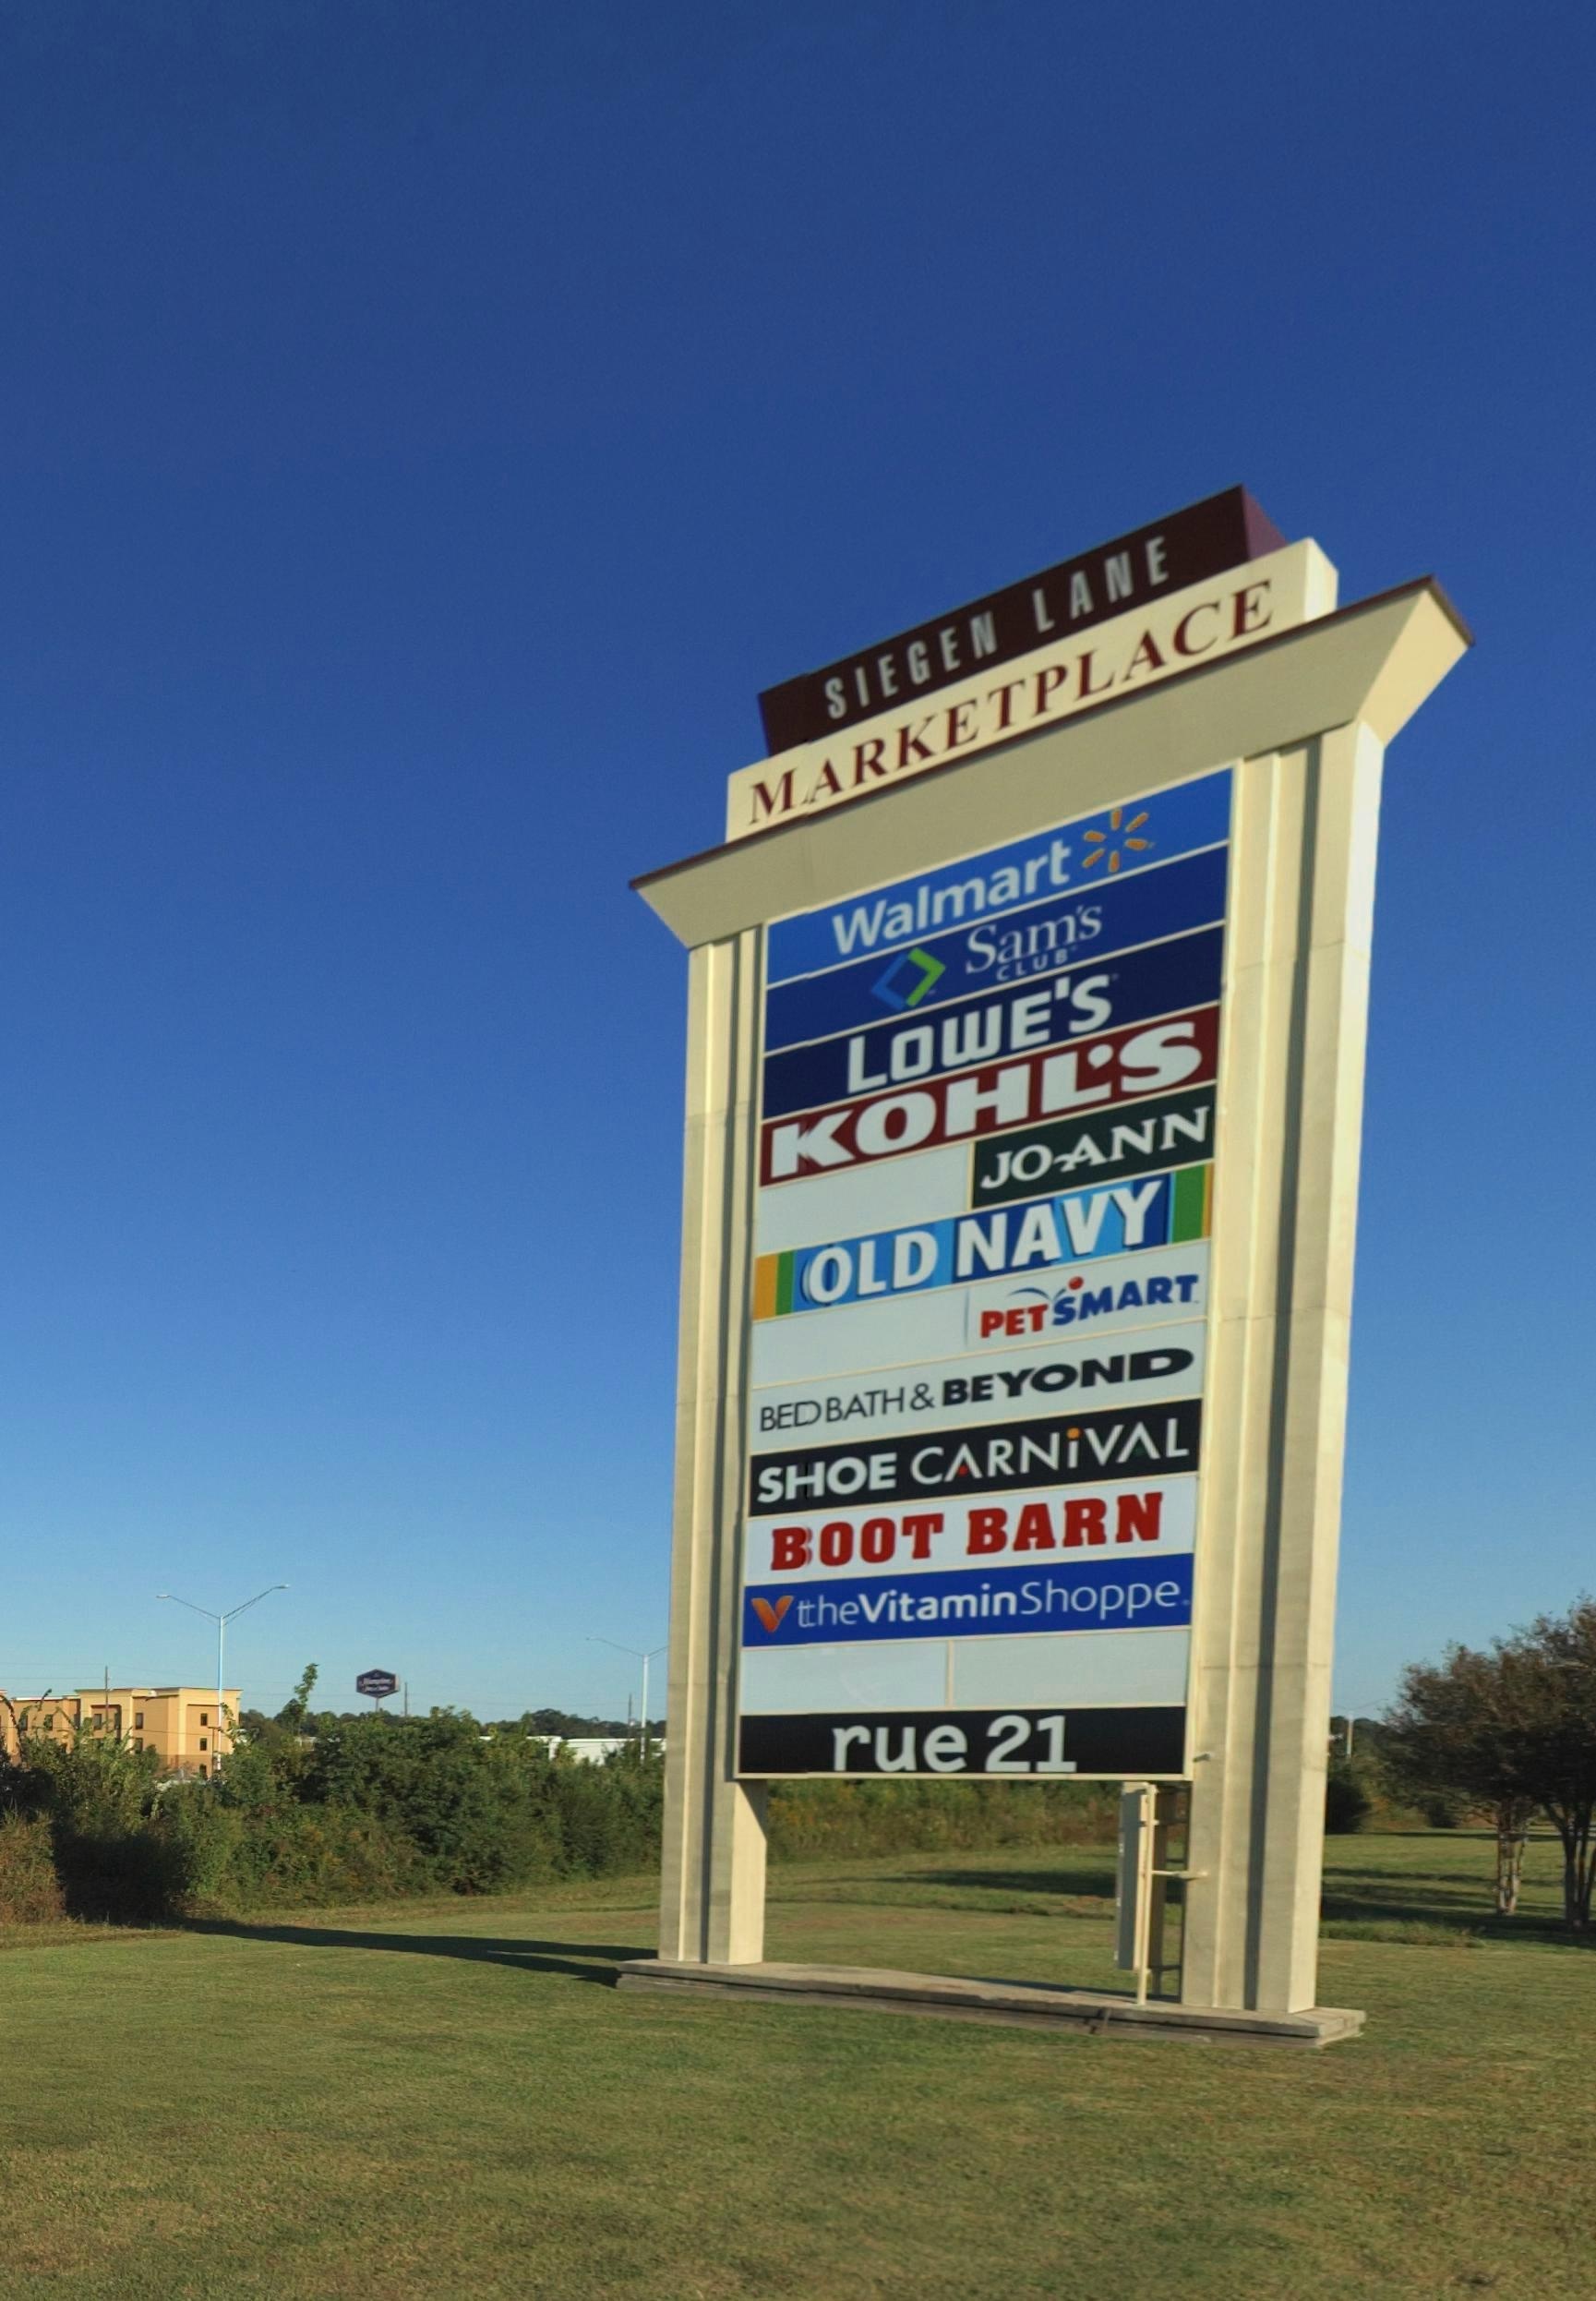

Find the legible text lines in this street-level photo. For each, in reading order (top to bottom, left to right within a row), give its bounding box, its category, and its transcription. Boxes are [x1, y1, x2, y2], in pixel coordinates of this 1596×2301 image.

[818, 529, 1173, 729] BusinessName: SIEGEN LANE
[743, 572, 1275, 830] BusinessName: MARKETPLACE
[826, 831, 1074, 959] BusinessName: Walmart
[994, 946, 1071, 985] None: CLUB
[962, 901, 1105, 980] BusinessName: Sam's
[845, 971, 1117, 1097] BusinessName: LOWE'S
[767, 1013, 1206, 1183] BusinessName: KOHL'S
[976, 1101, 1211, 1194] BusinessName: JOANN
[807, 1176, 1165, 1306] BusinessName: OLD NAVY
[978, 1271, 1201, 1340] BusinessName: PETSMART
[758, 1345, 1195, 1434] BusinessName: BED BATH & BEYOND
[754, 1413, 1192, 1505] BusinessName: SHOE CARNIVAL
[770, 1490, 1164, 1572] BusinessName: BOOT BARN
[746, 1577, 1182, 1636] BusinessName: V*heVitaminShoppe
[829, 1713, 1078, 1774] BusinessName: rue21